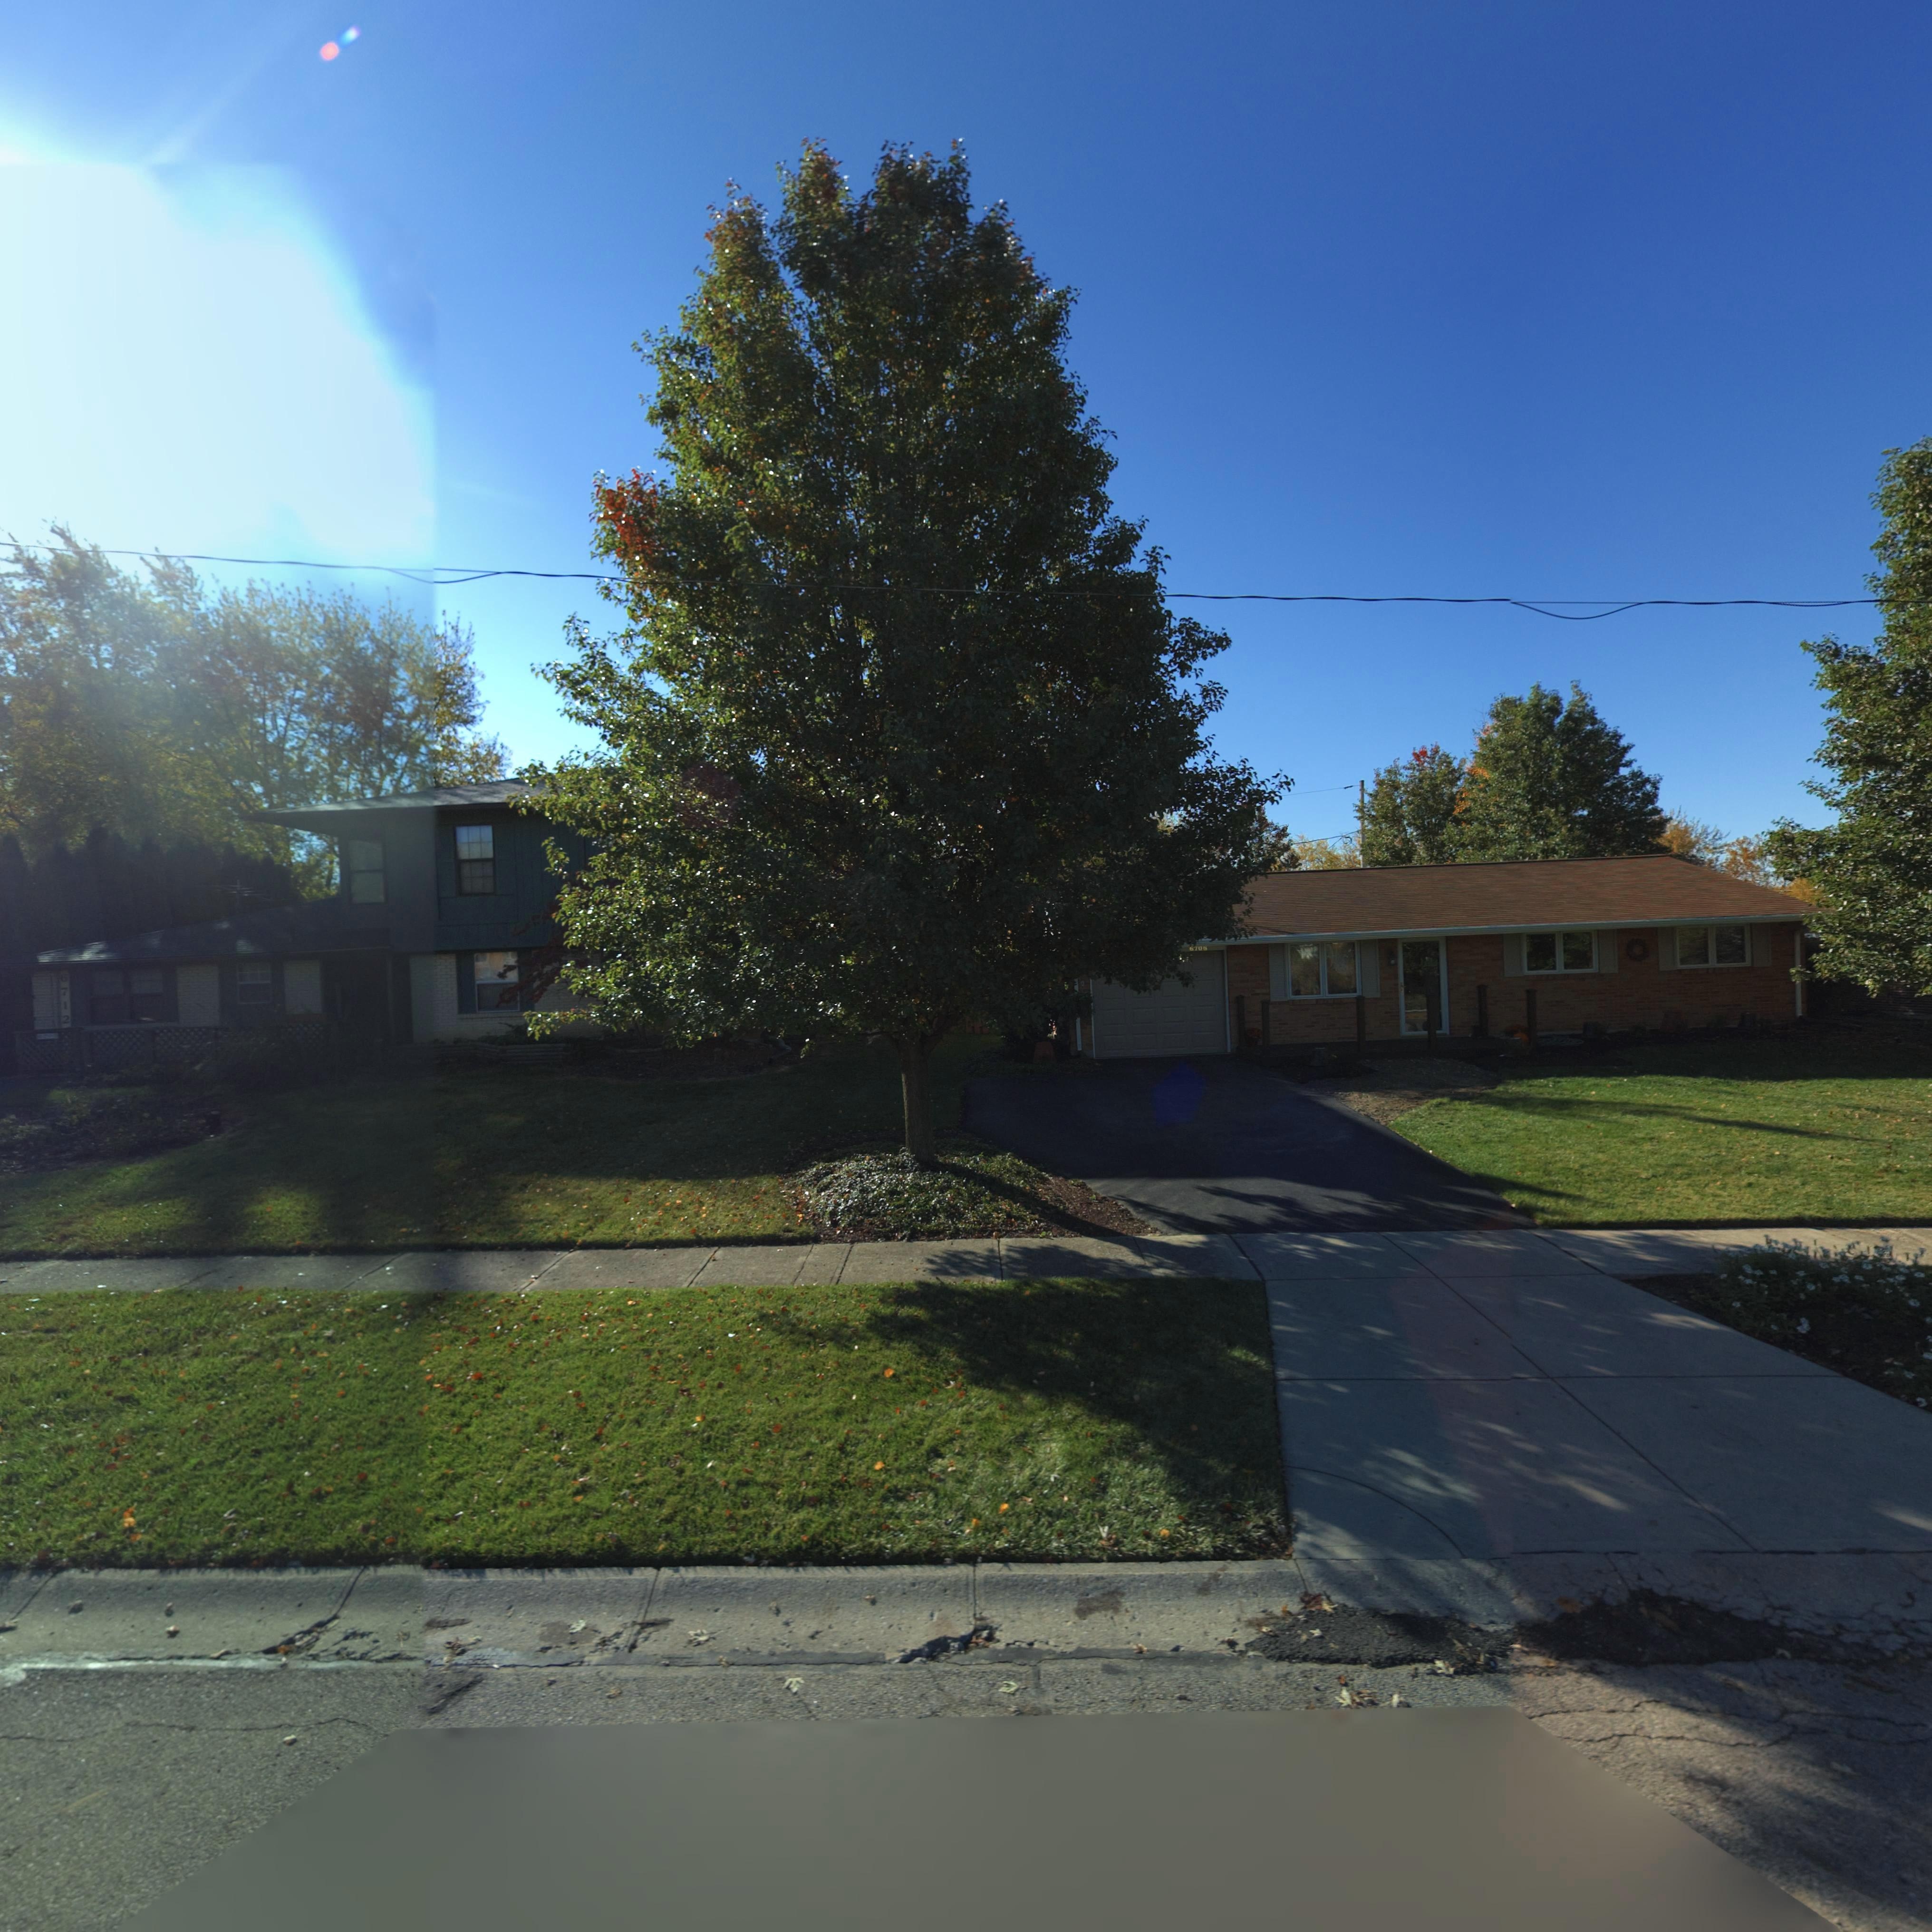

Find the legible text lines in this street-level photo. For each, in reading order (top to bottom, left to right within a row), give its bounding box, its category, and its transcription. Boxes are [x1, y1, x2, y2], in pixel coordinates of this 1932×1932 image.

[1188, 945, 1208, 952] StreetNumber: 6***
[59, 972, 71, 1025] StreetNumber: 6712